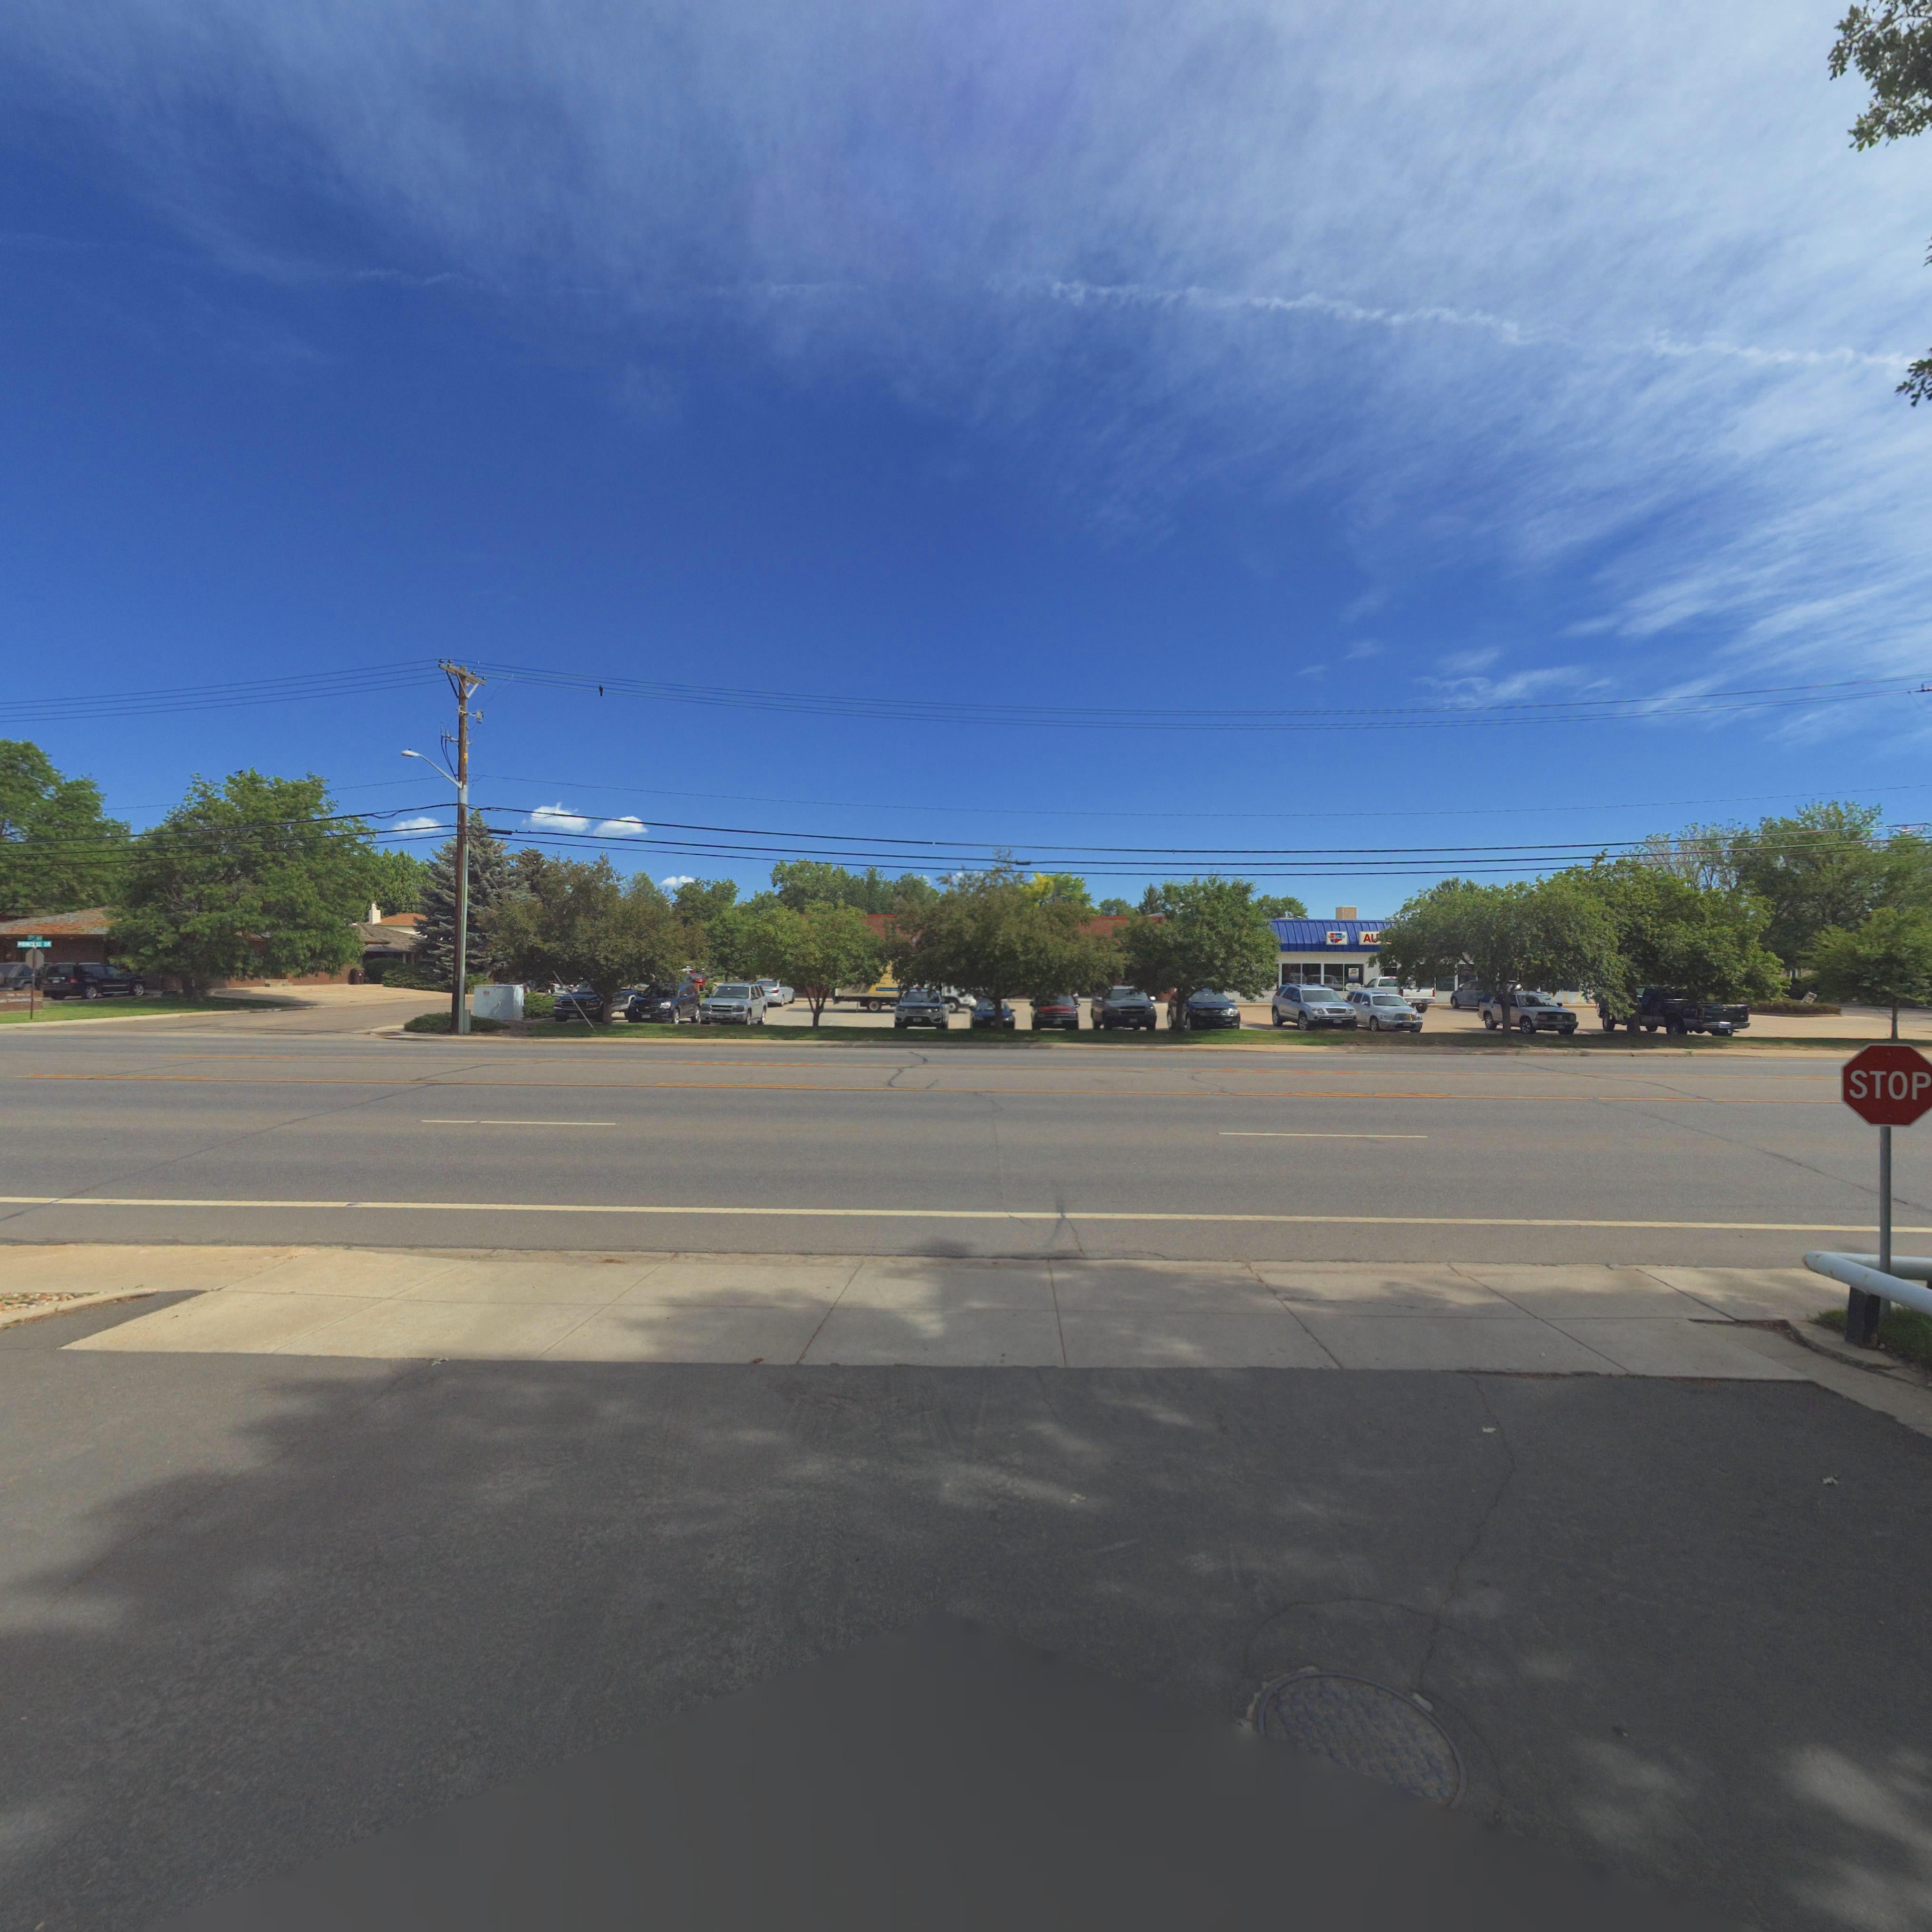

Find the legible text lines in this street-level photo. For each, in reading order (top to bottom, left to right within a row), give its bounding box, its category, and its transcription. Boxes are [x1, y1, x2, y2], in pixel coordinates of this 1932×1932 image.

[28, 935, 42, 940] StreetName: 1*** **
[1328, 934, 1346, 938] BusinessName: *** Q***T
[1362, 933, 1393, 943] BusinessName: A***
[17, 941, 51, 948] StreetName: ****C*SS D*